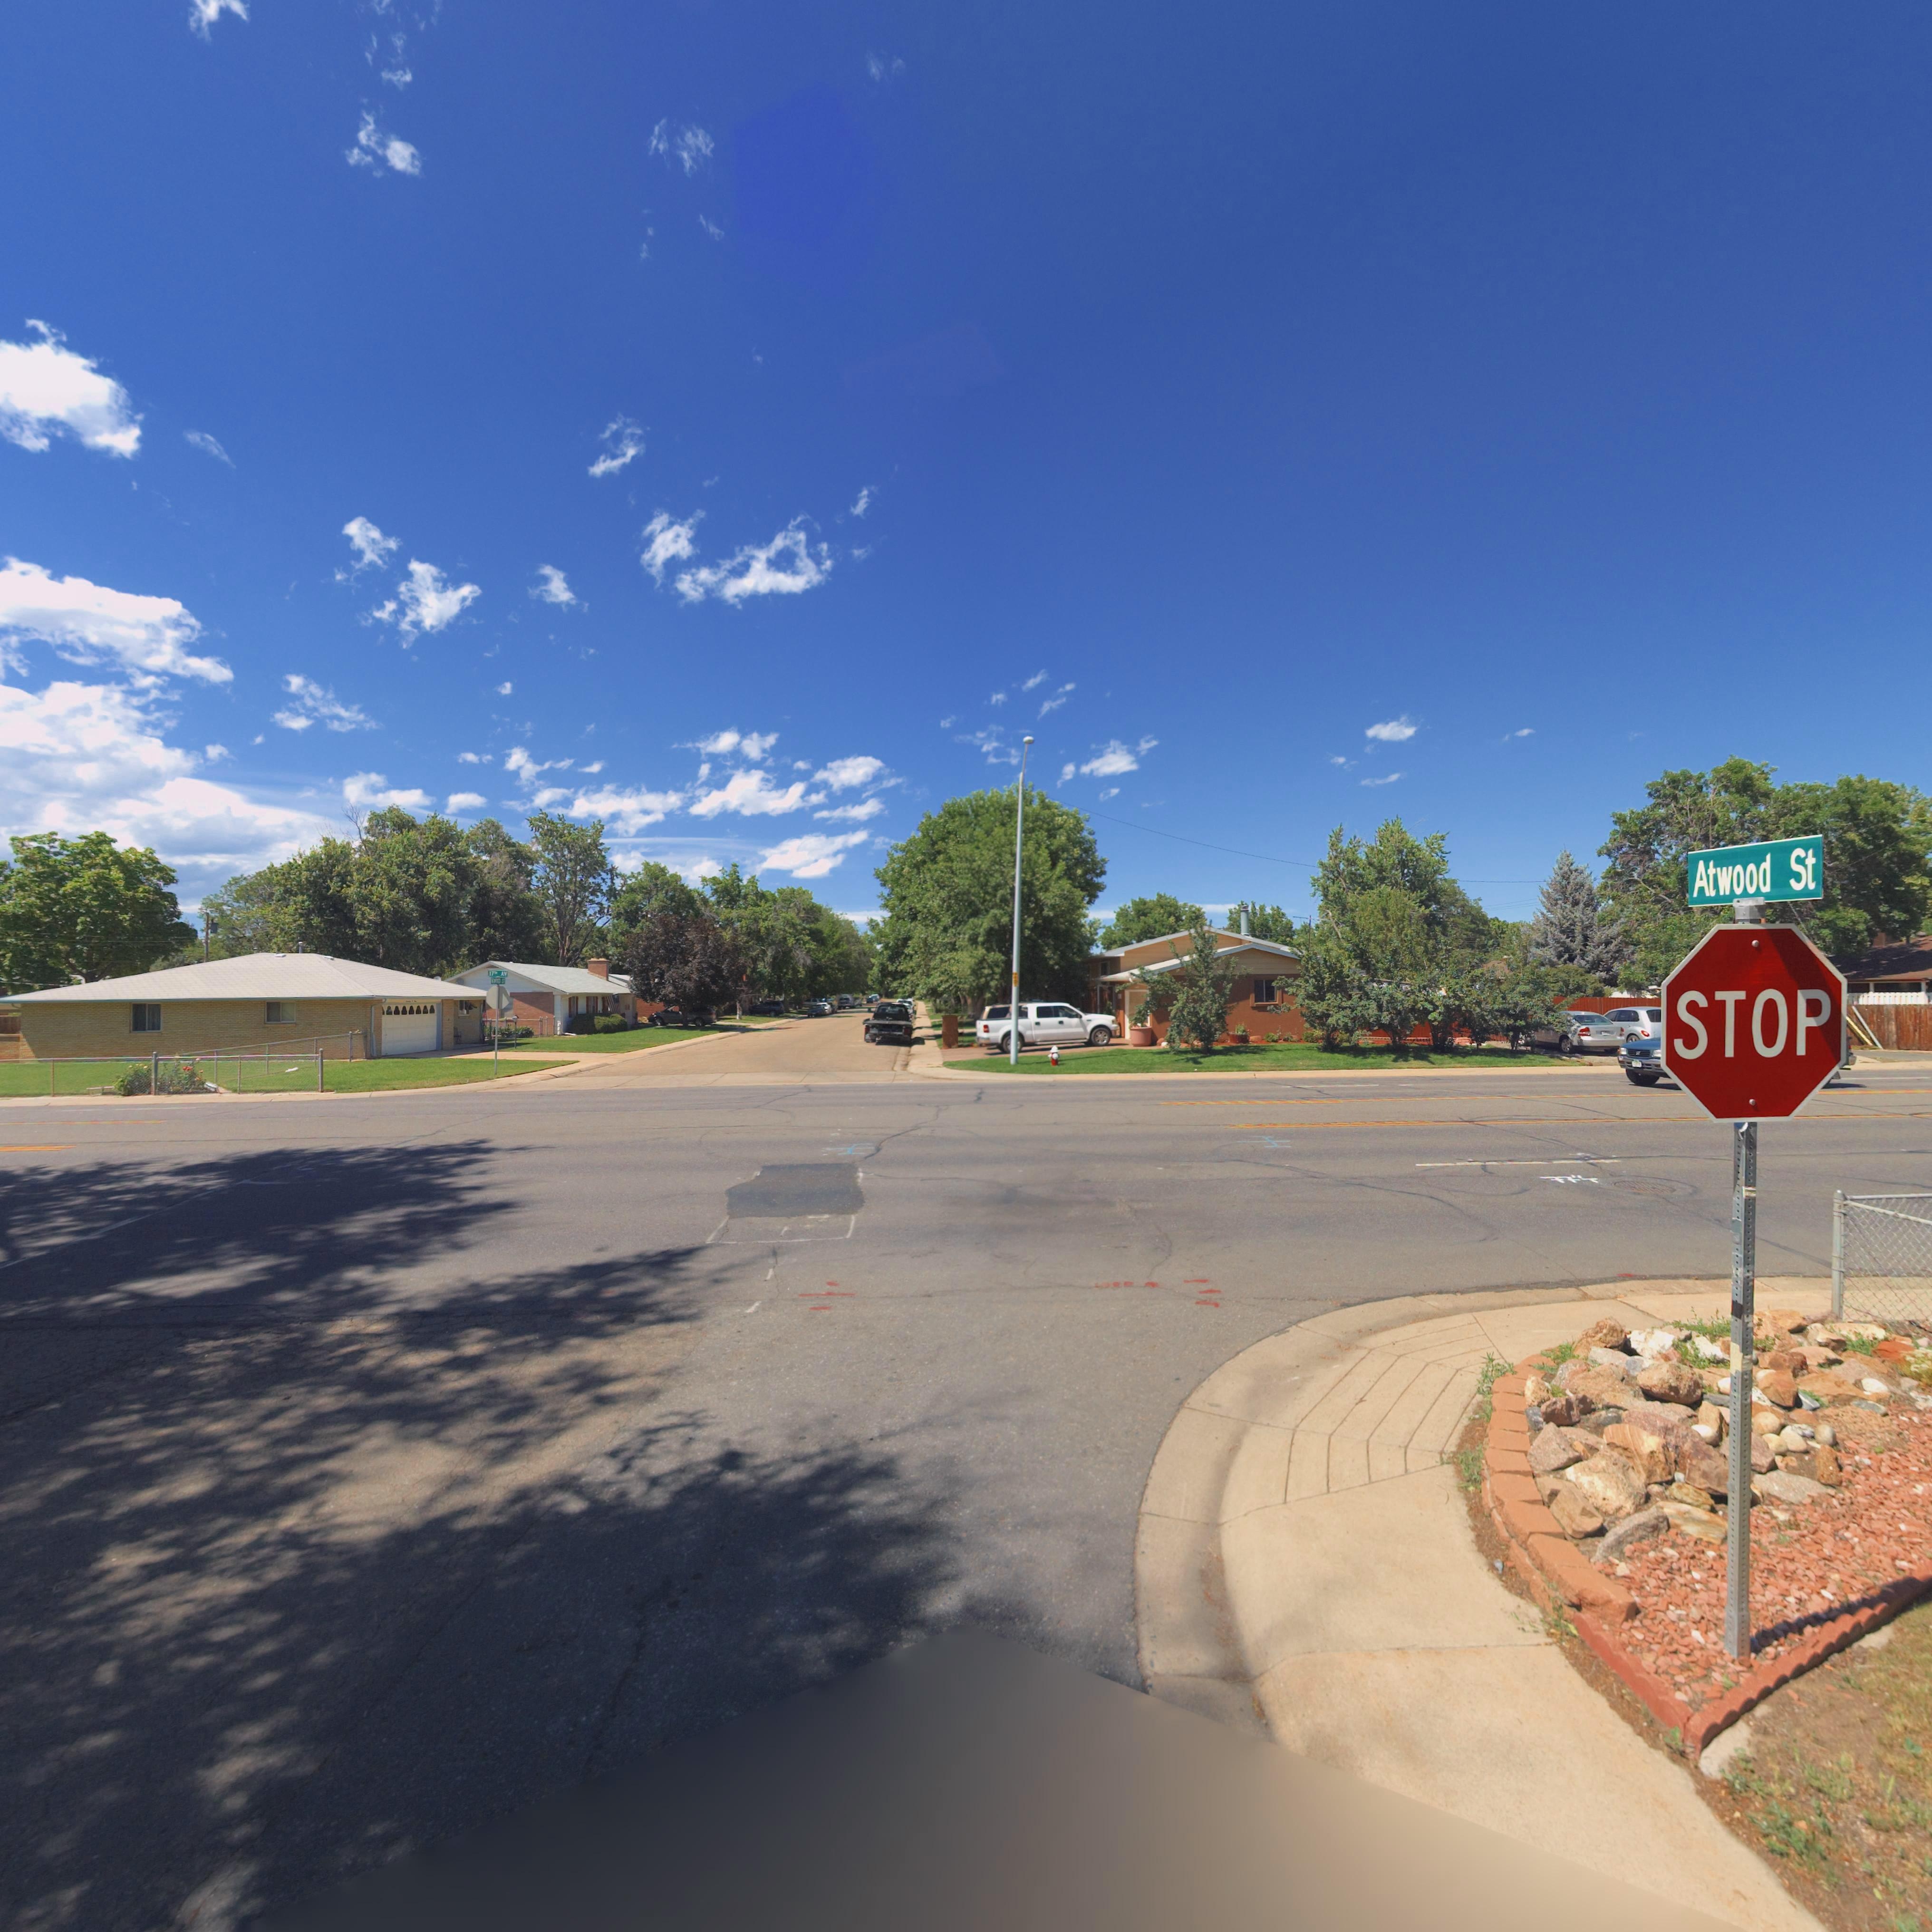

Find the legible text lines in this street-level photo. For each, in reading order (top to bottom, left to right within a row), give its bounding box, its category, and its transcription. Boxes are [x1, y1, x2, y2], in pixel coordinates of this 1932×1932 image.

[1690, 845, 1817, 899] StreetName: Atwood St
[489, 971, 507, 976] StreetName: 17** AV
[491, 978, 505, 983] StreetName: ***** S*